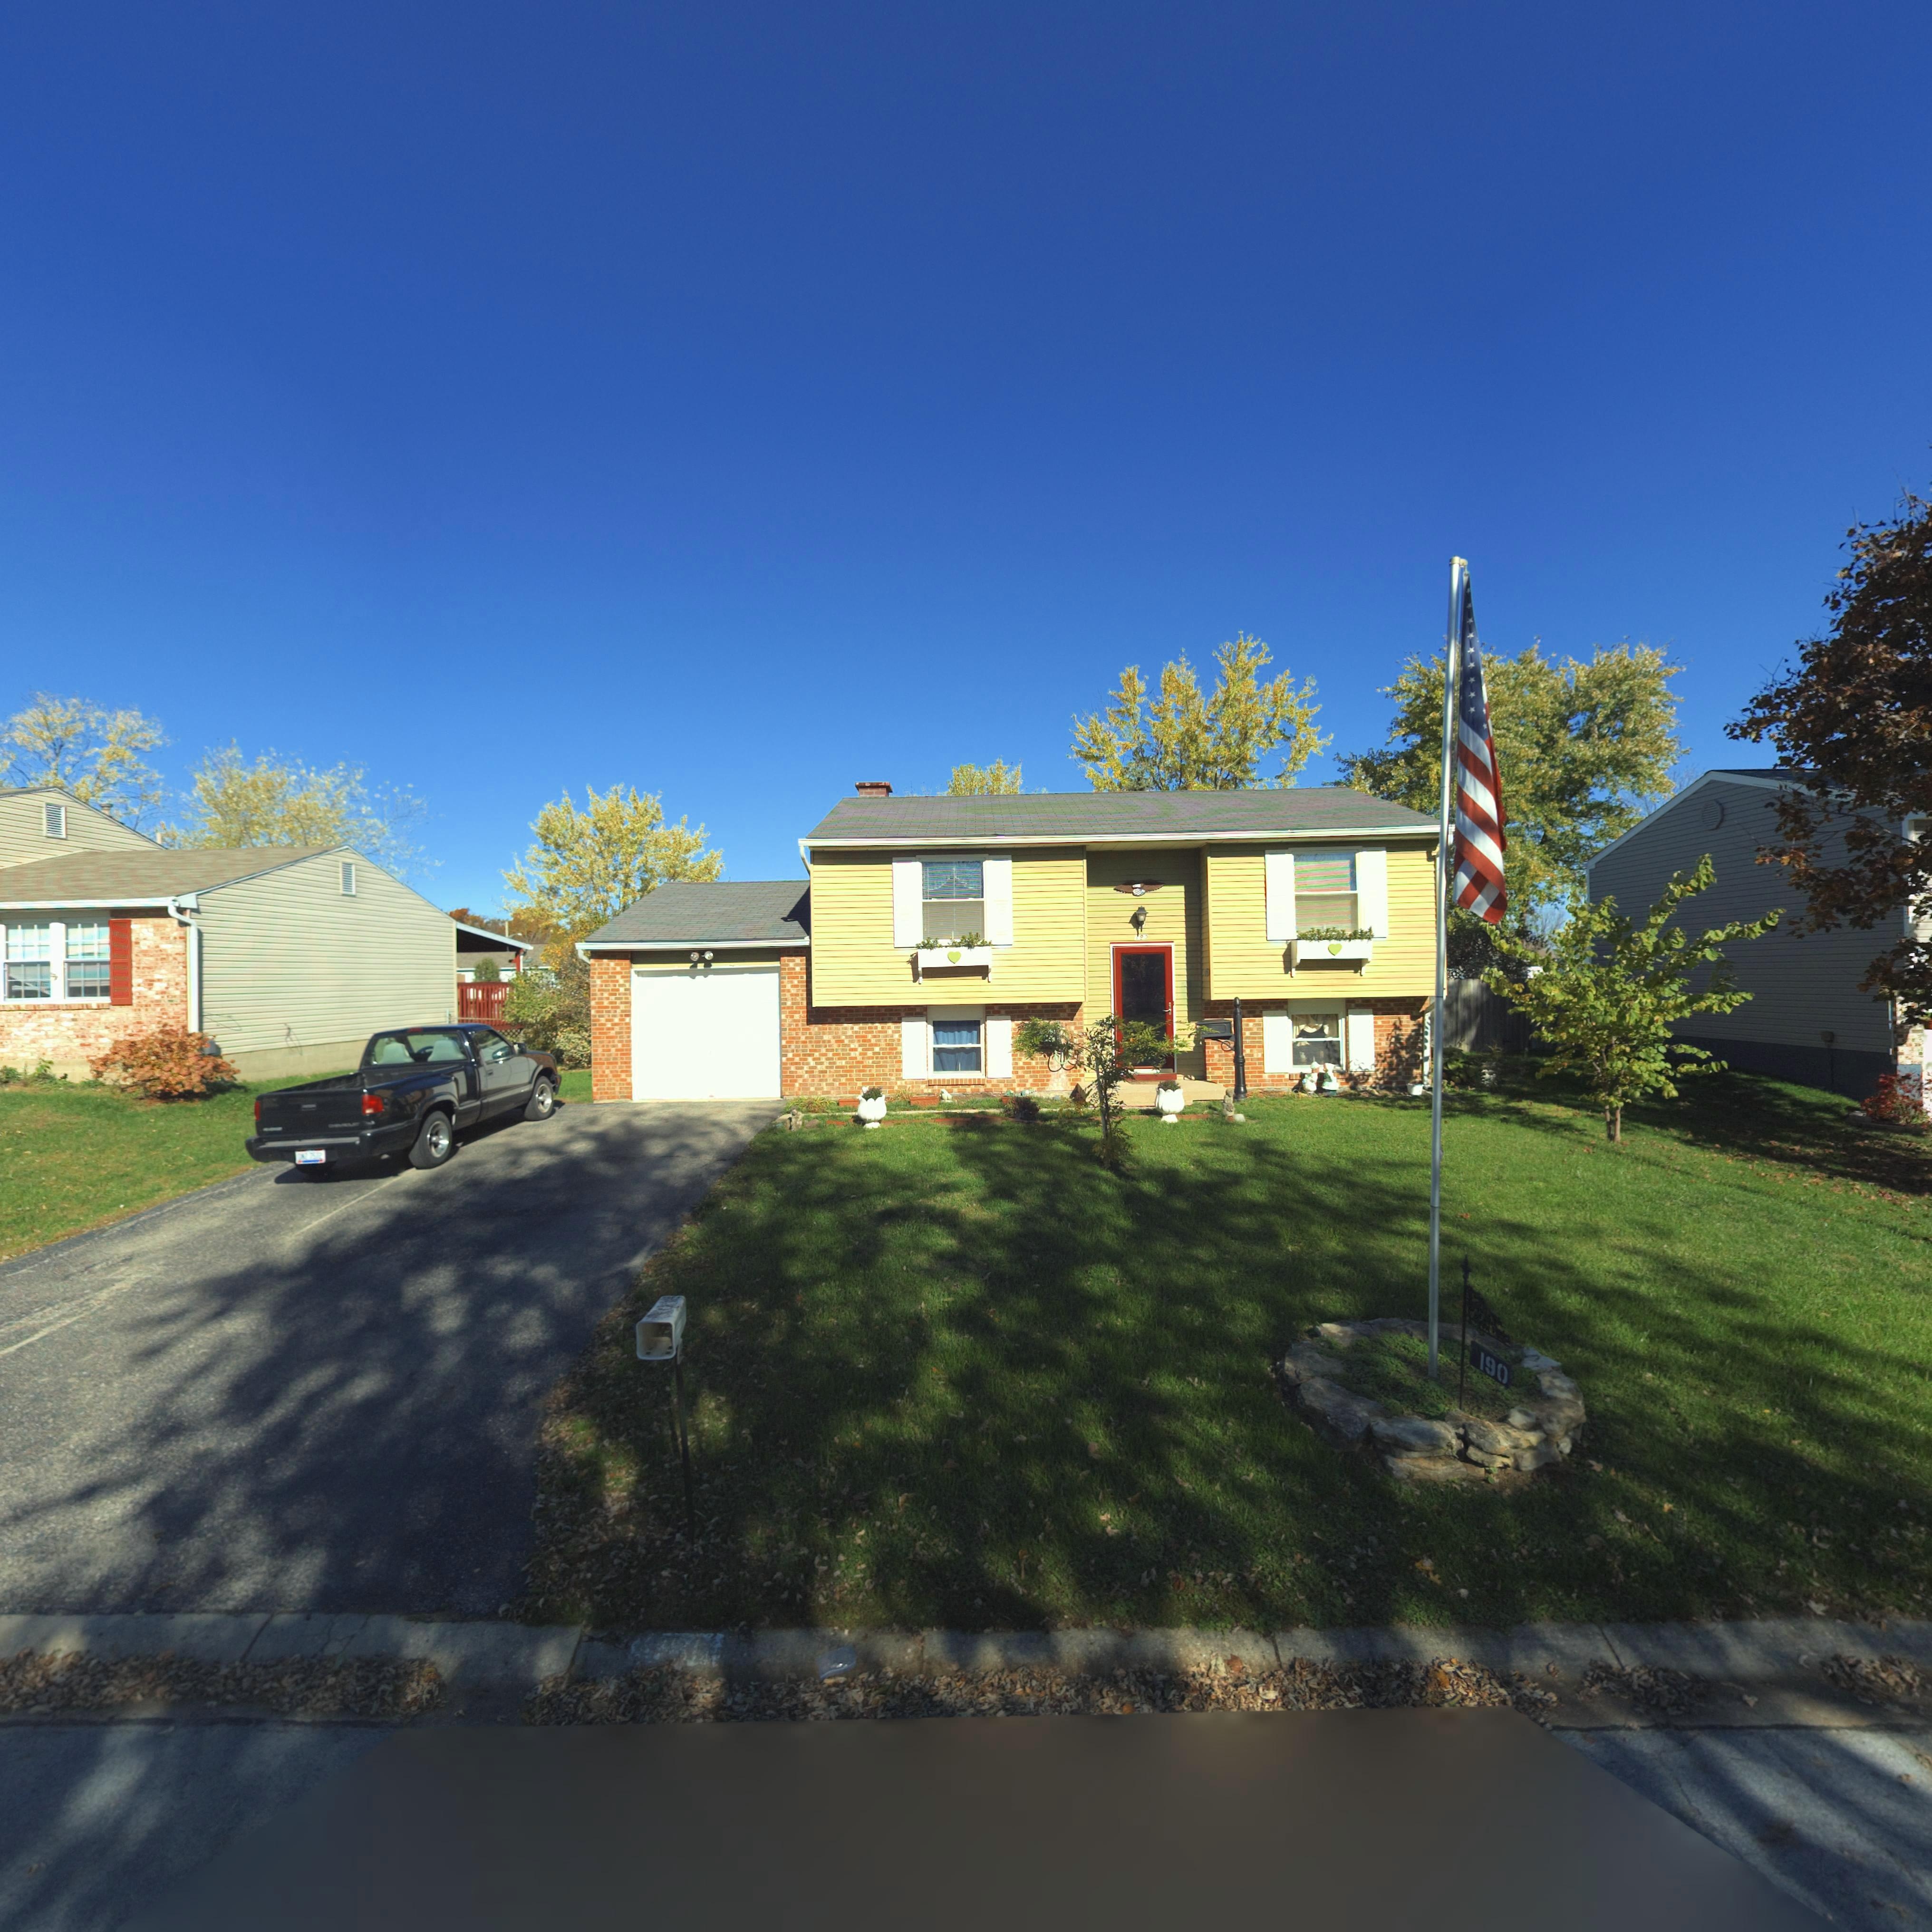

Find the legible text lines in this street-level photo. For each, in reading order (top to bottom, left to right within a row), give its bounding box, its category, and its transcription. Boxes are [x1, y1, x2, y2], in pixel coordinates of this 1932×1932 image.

[1478, 1350, 1509, 1386] StreetNumber: 190